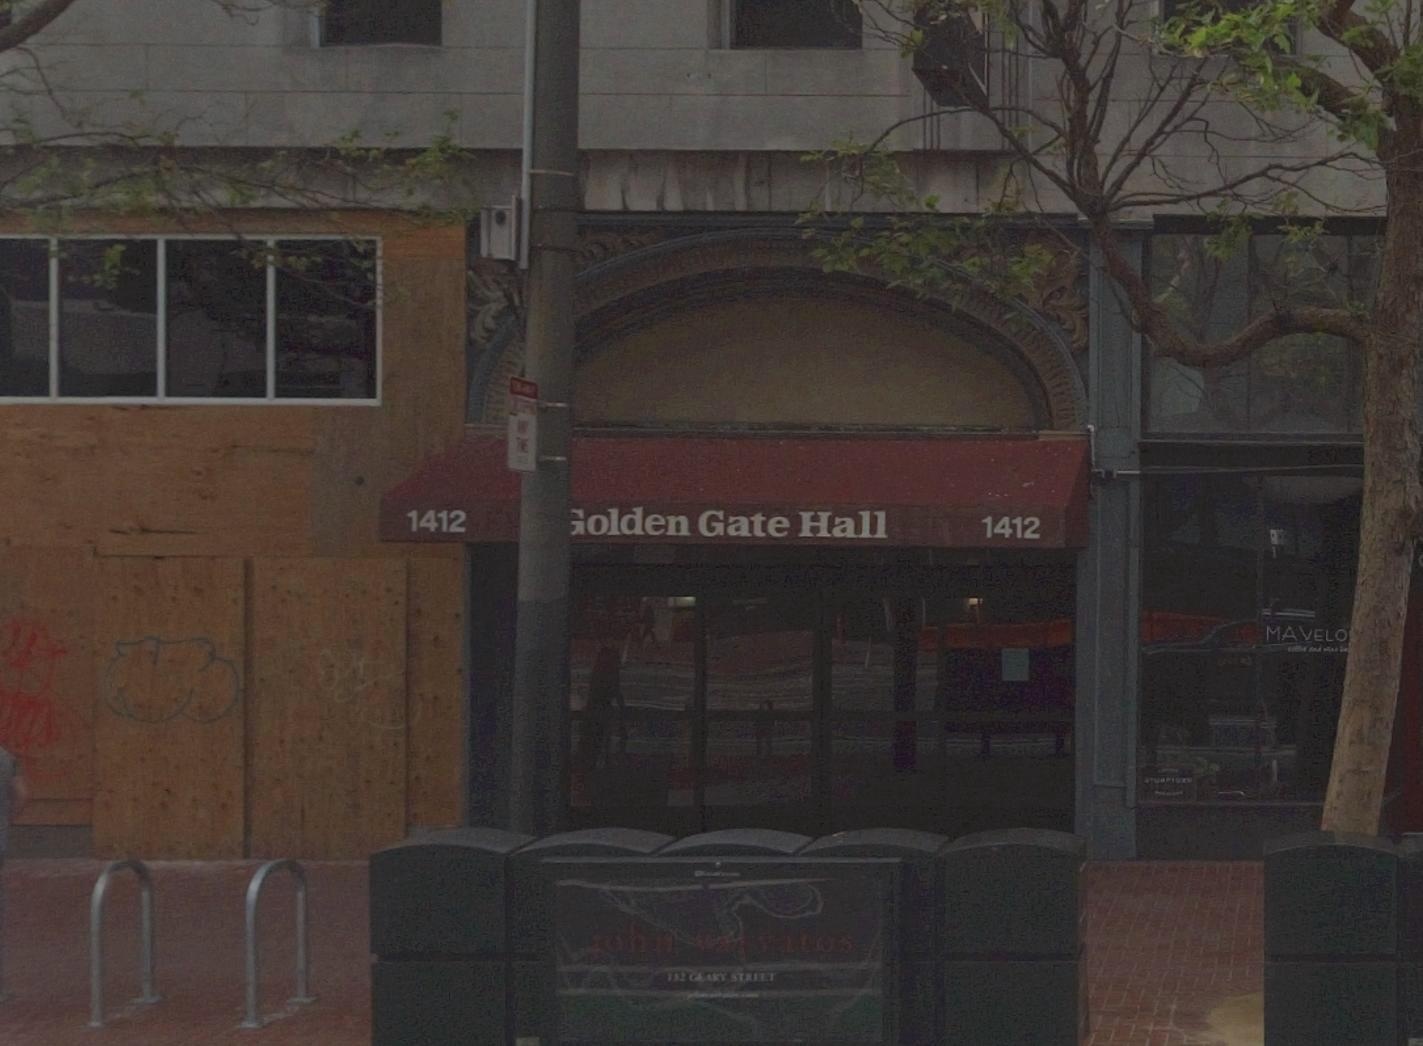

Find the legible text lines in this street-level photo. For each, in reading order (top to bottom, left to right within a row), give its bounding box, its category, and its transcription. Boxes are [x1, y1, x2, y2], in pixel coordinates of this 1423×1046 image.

[402, 504, 471, 536] StreetNumber: 1412
[584, 504, 891, 541] BusinessName: olden Gate Hall
[977, 512, 1043, 542] StreetNumber: 1412
[1264, 622, 1349, 645] BusinessName: MAVELO
[581, 916, 860, 970] None: john ***vatos
[665, 969, 688, 985] StreetNumber: 152
[686, 970, 780, 985] StreetName: G*ARY STREET